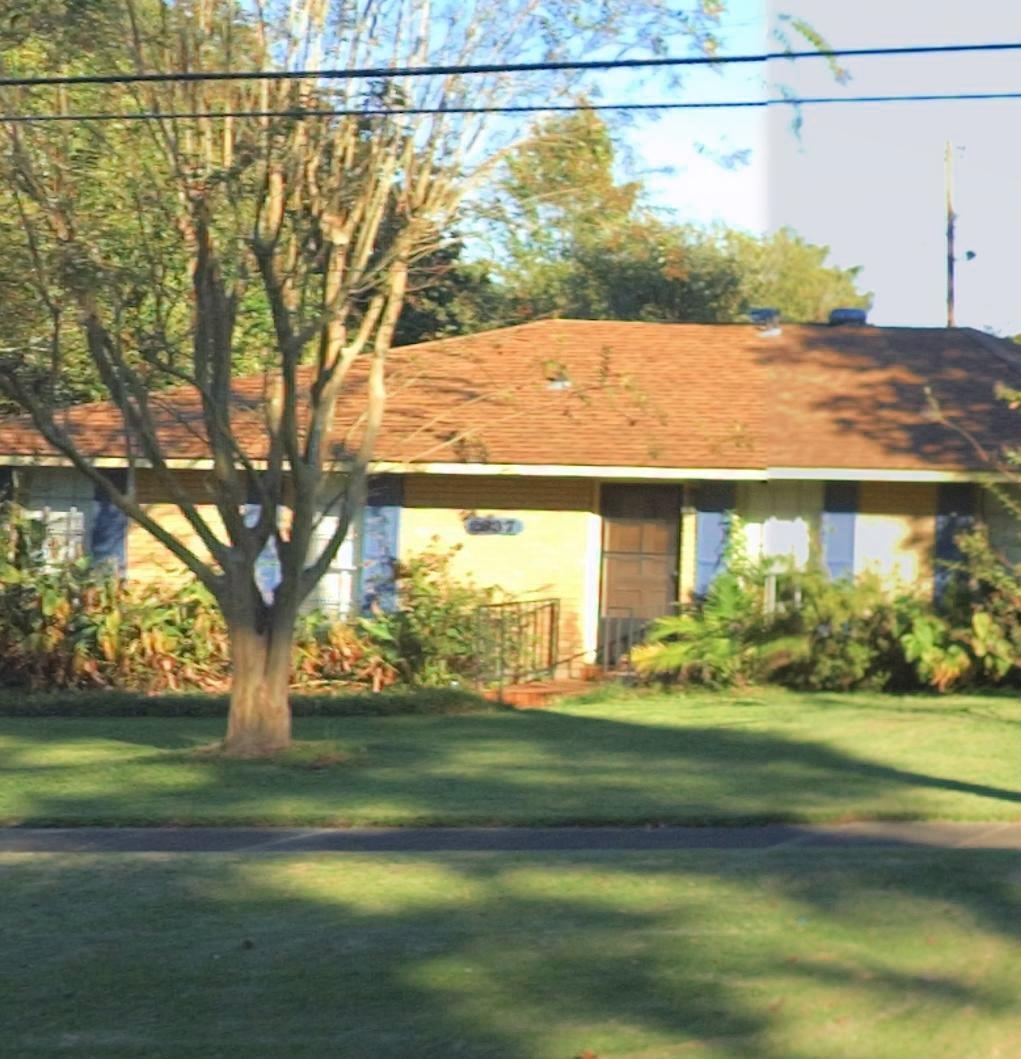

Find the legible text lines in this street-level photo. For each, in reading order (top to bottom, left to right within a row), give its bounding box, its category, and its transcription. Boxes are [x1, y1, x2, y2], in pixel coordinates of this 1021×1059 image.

[467, 518, 517, 534] StreetNumber: 2837